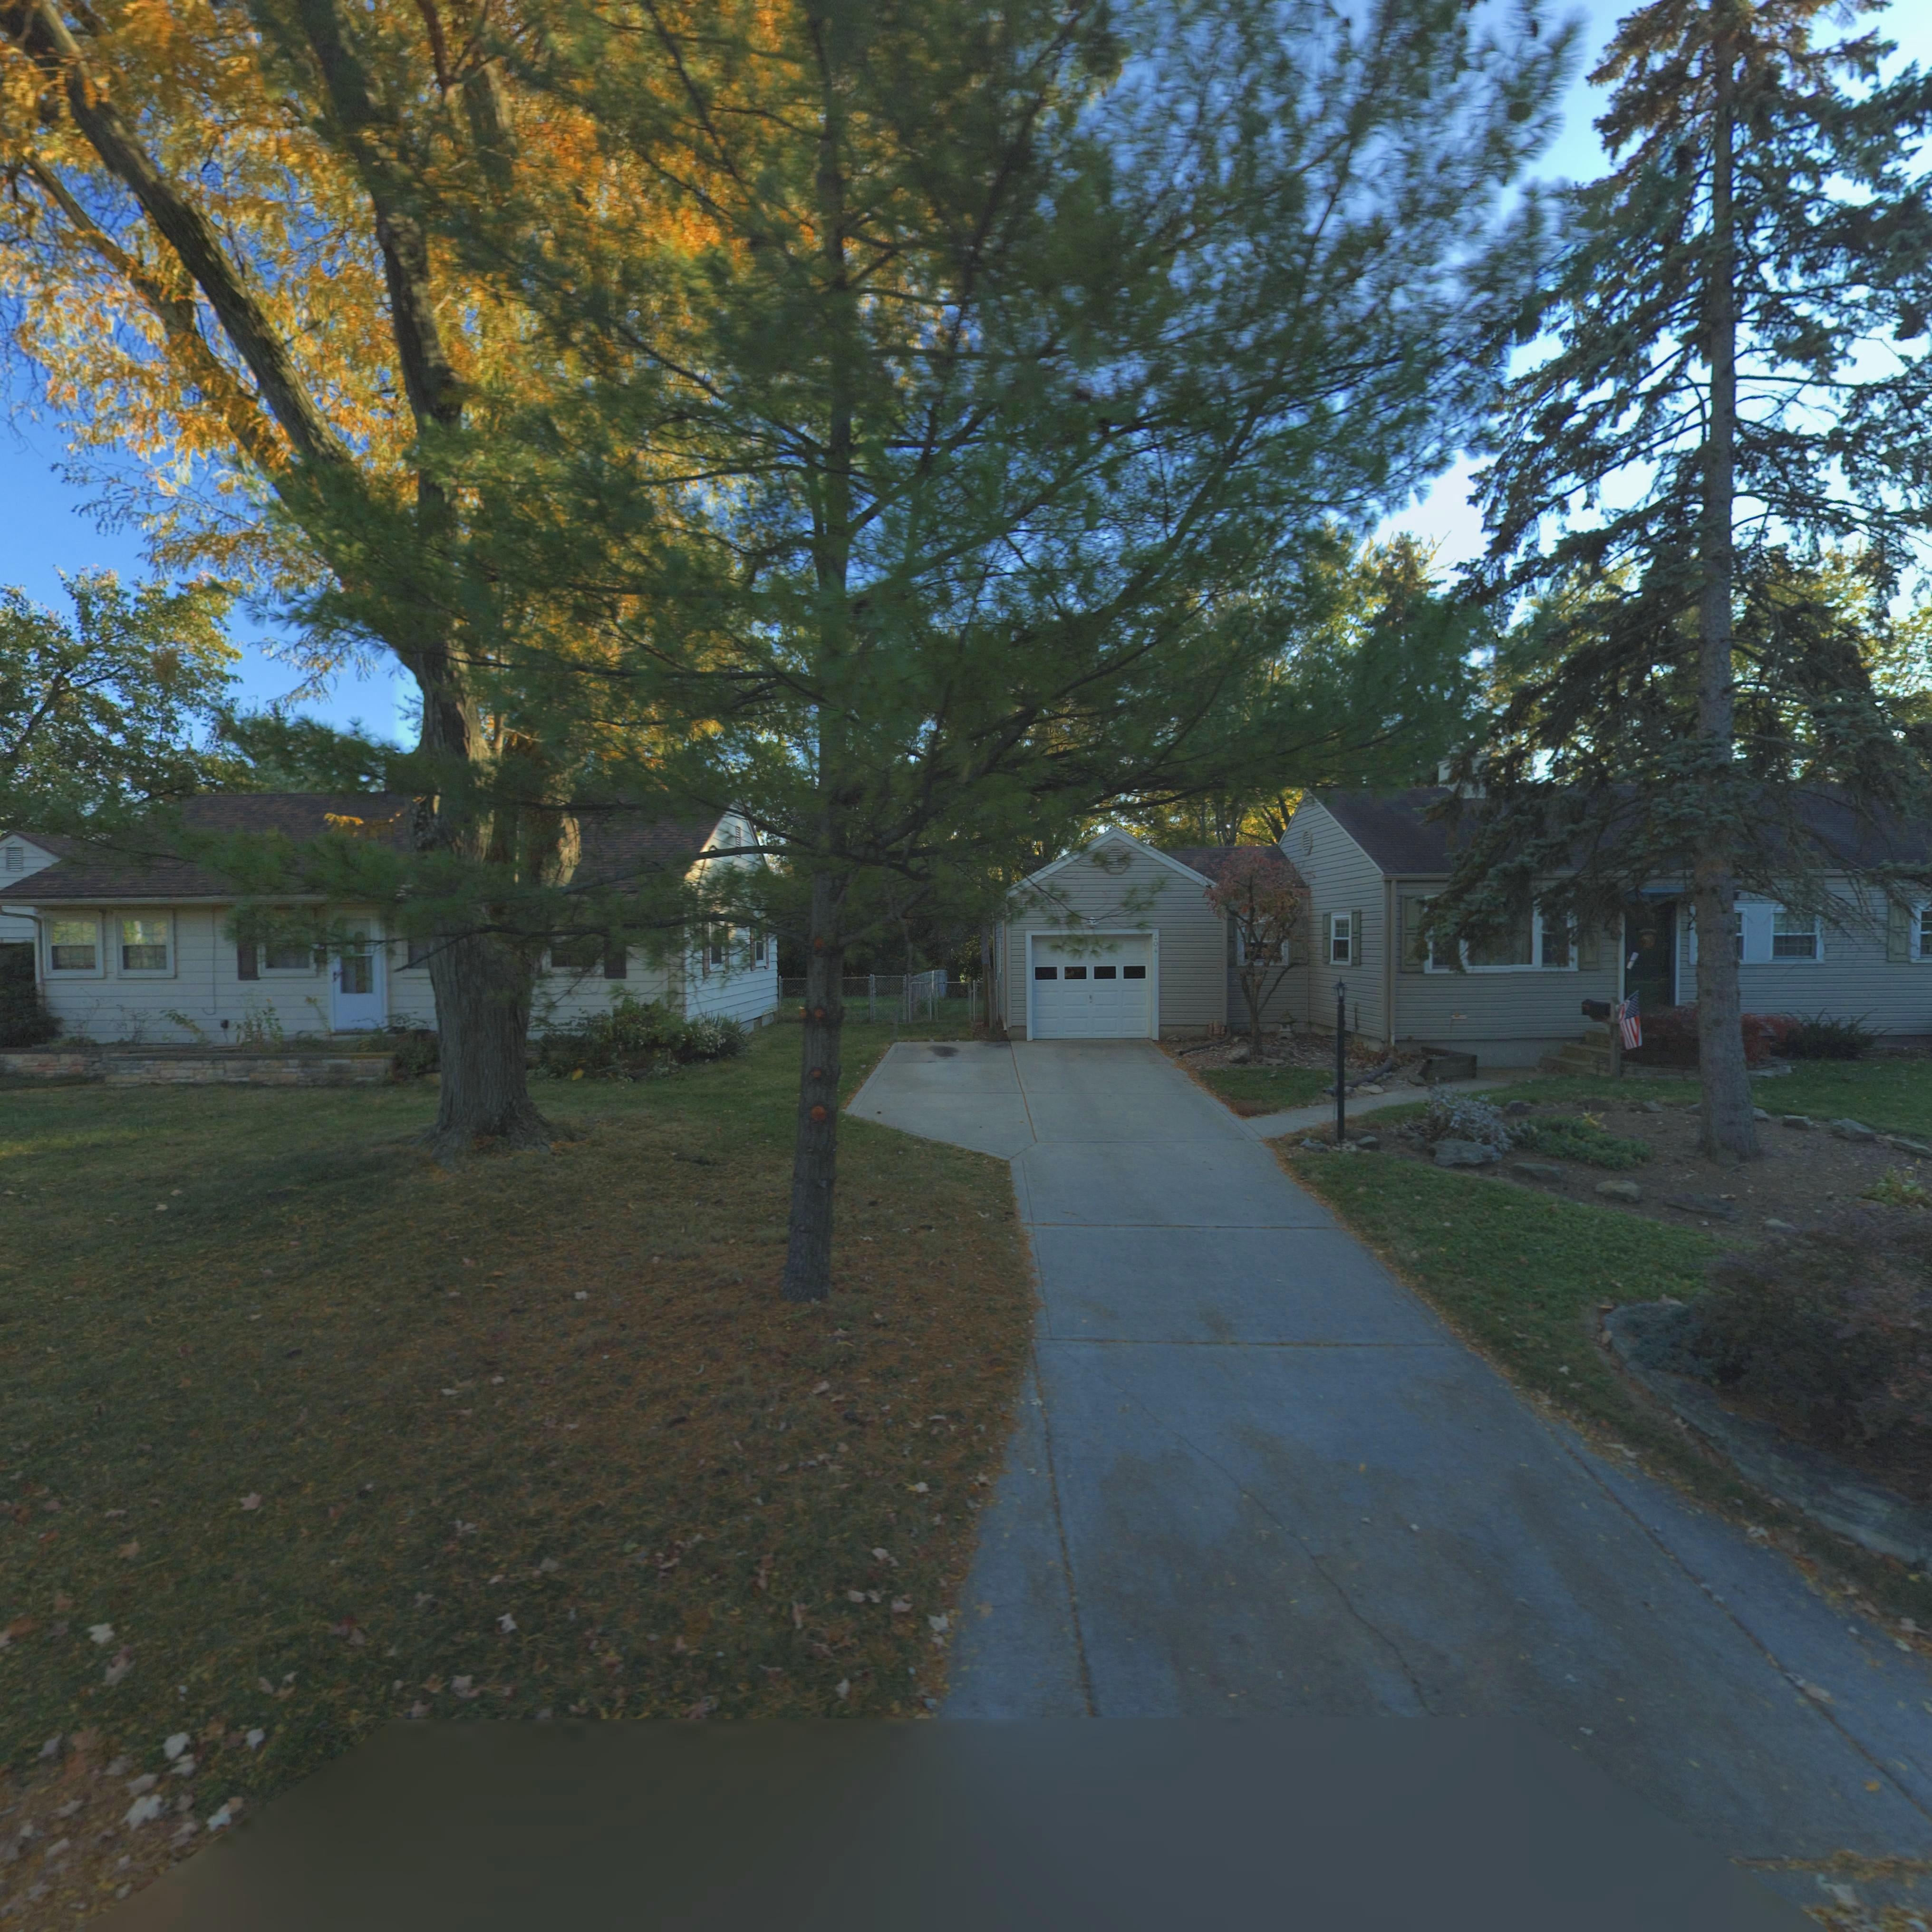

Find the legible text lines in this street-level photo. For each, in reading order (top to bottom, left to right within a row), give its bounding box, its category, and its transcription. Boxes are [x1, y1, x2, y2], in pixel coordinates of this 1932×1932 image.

[1154, 935, 1158, 953] StreetNumber: 404